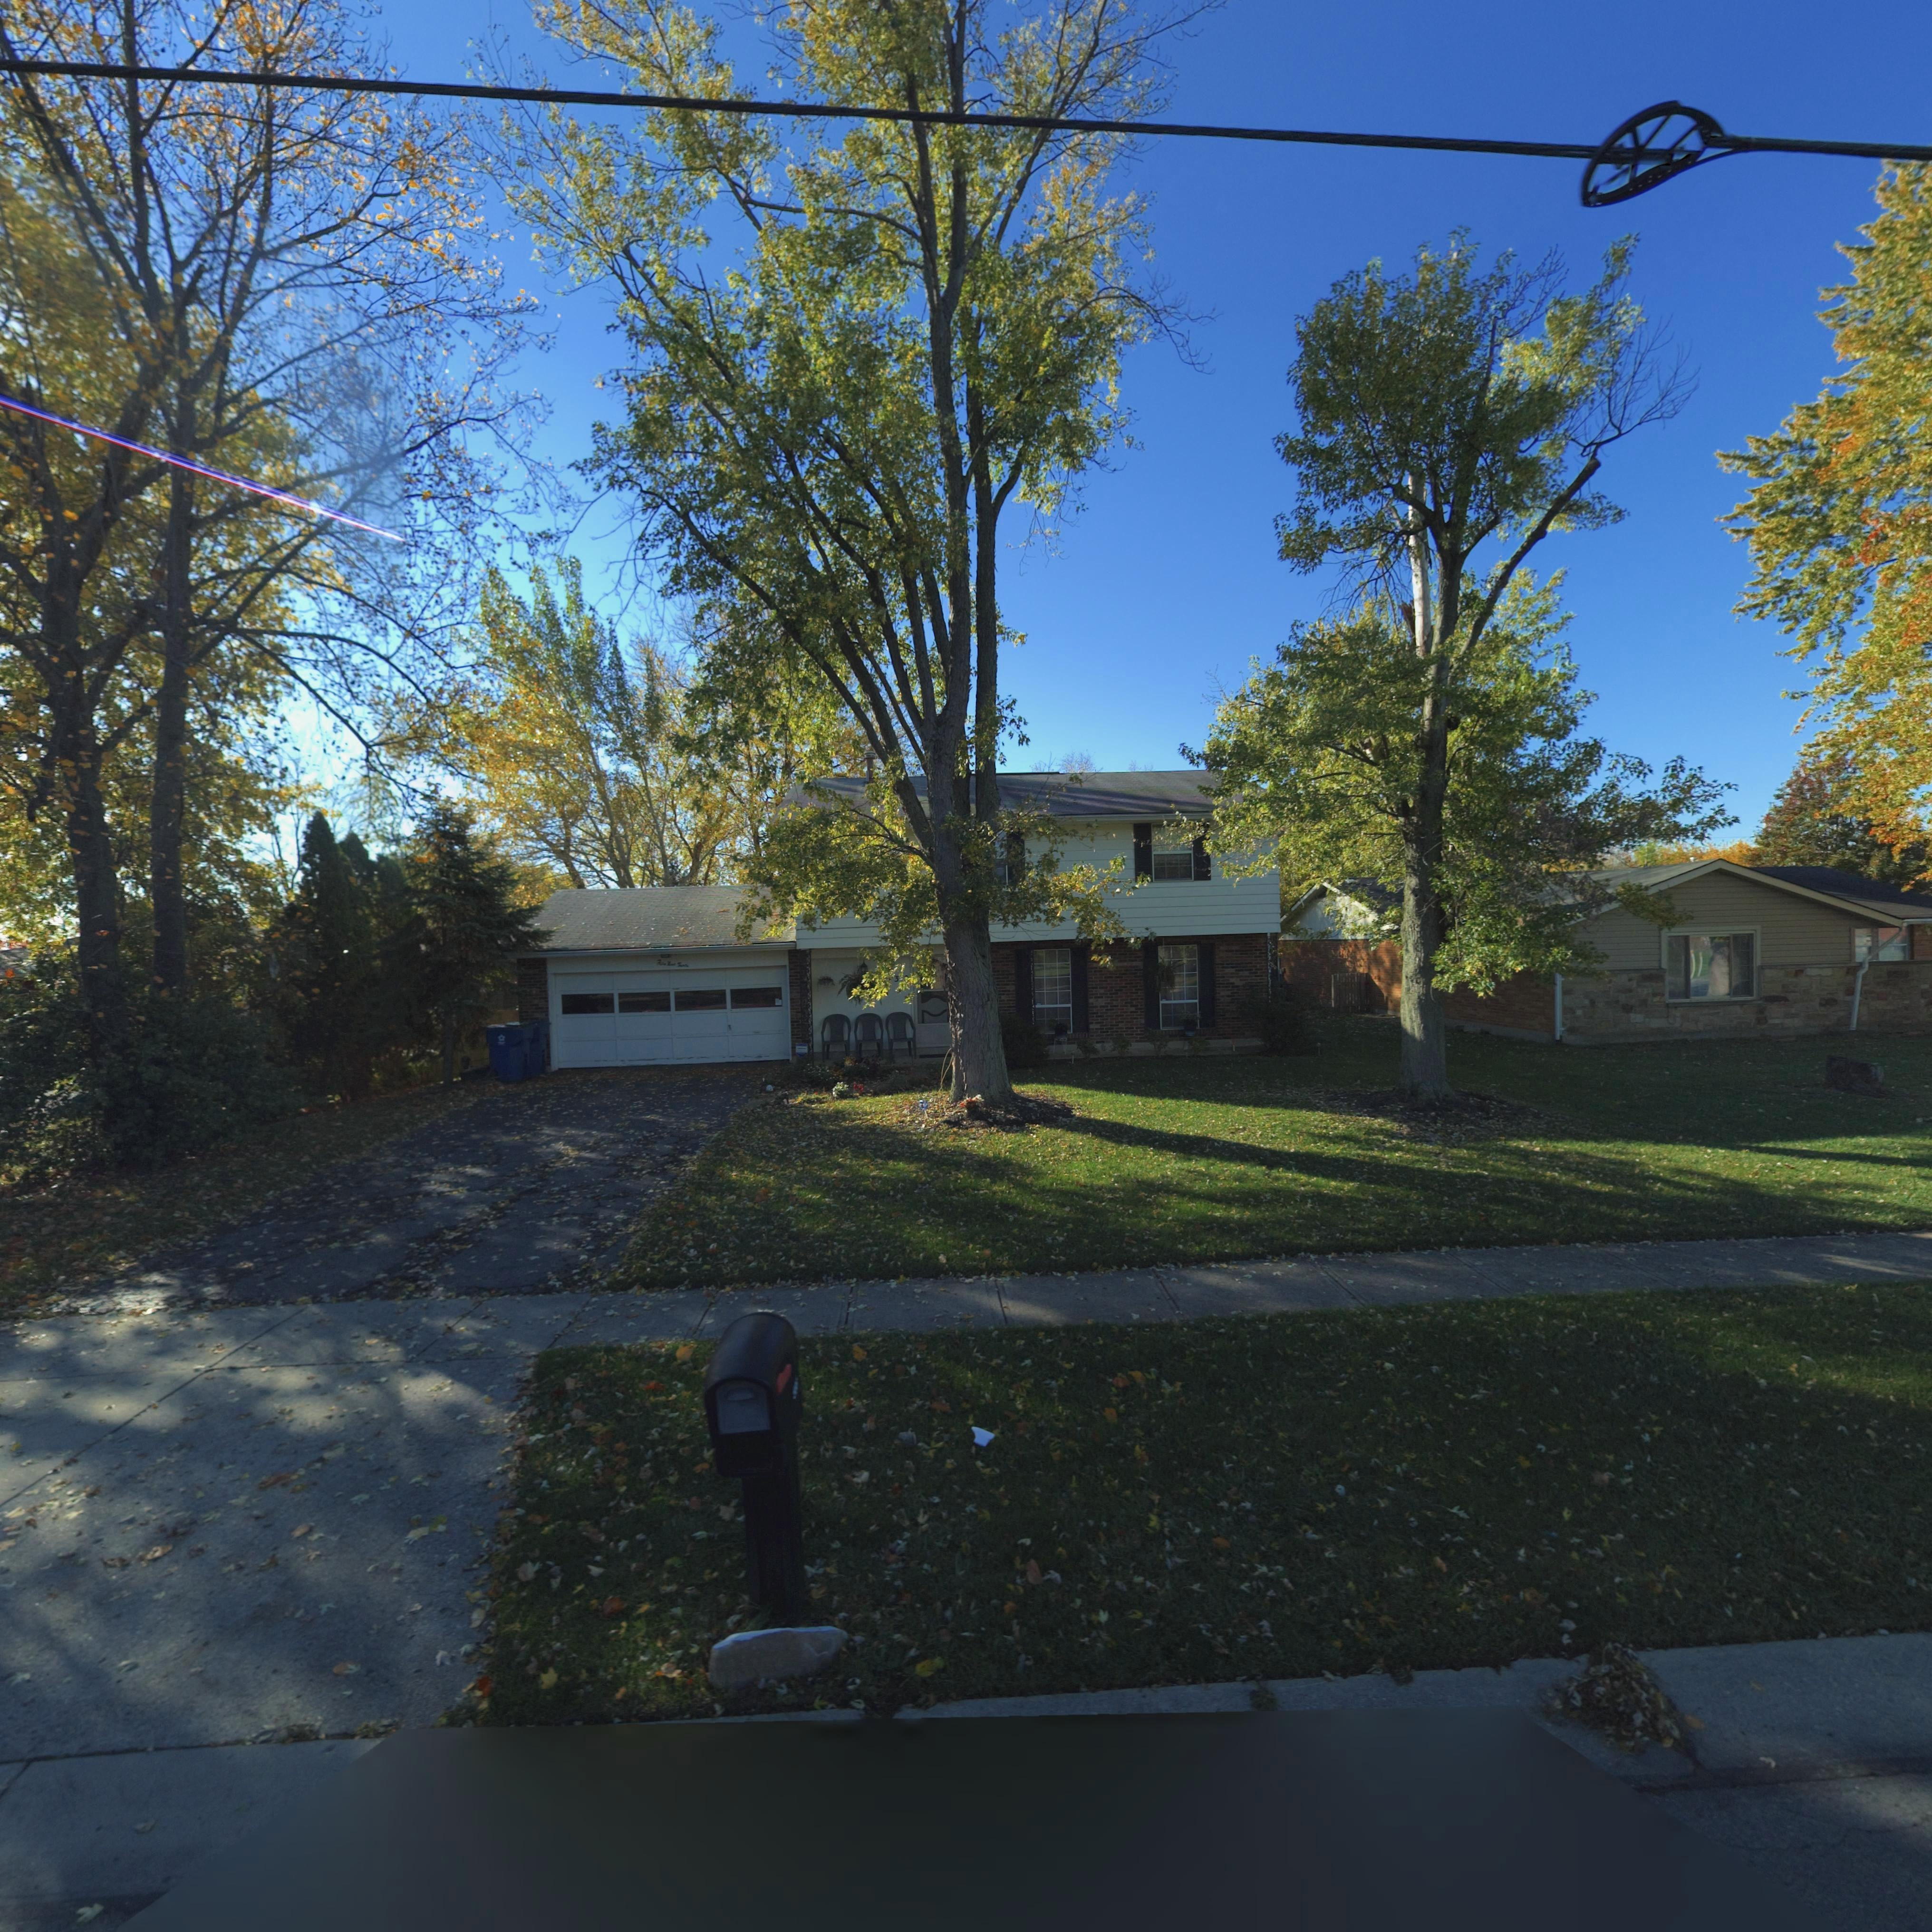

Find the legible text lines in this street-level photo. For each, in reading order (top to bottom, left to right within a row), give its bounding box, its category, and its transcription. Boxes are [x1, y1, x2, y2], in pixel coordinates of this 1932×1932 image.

[656, 959, 662, 966] StreetNumber: F
[676, 962, 682, 967] StreetNumber: T
[894, 976, 899, 982] StreetNumber: 3